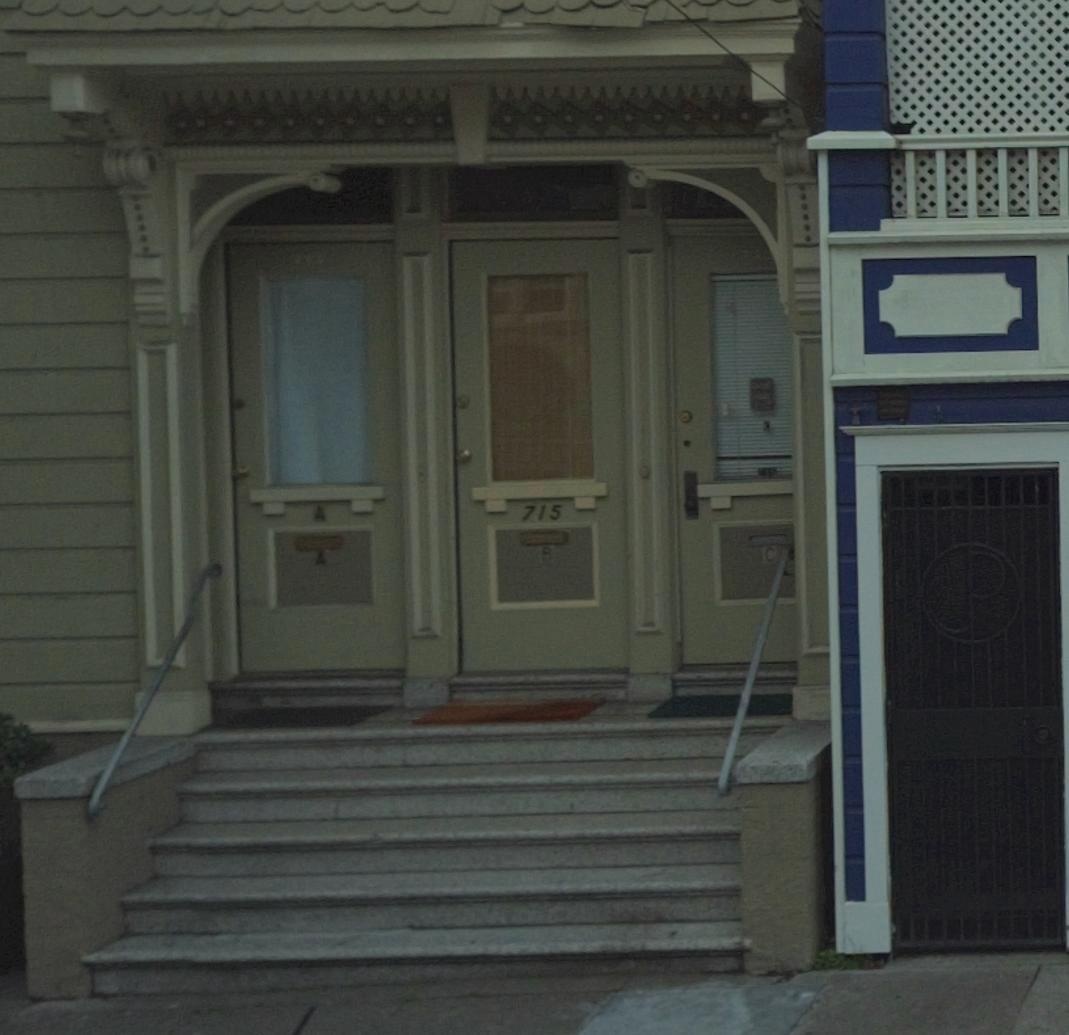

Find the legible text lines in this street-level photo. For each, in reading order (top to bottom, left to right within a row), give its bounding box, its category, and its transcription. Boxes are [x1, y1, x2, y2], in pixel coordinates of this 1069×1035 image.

[309, 503, 326, 521] SecondaryUnitDesignator: A
[520, 504, 563, 522] StreetNumber: 715
[314, 548, 325, 566] SecondaryUnitDesignator: A
[540, 543, 552, 561] SecondaryUnitDesignator: B
[763, 546, 776, 561] SecondaryUnitDesignator: C
[963, 546, 1009, 645] None: P